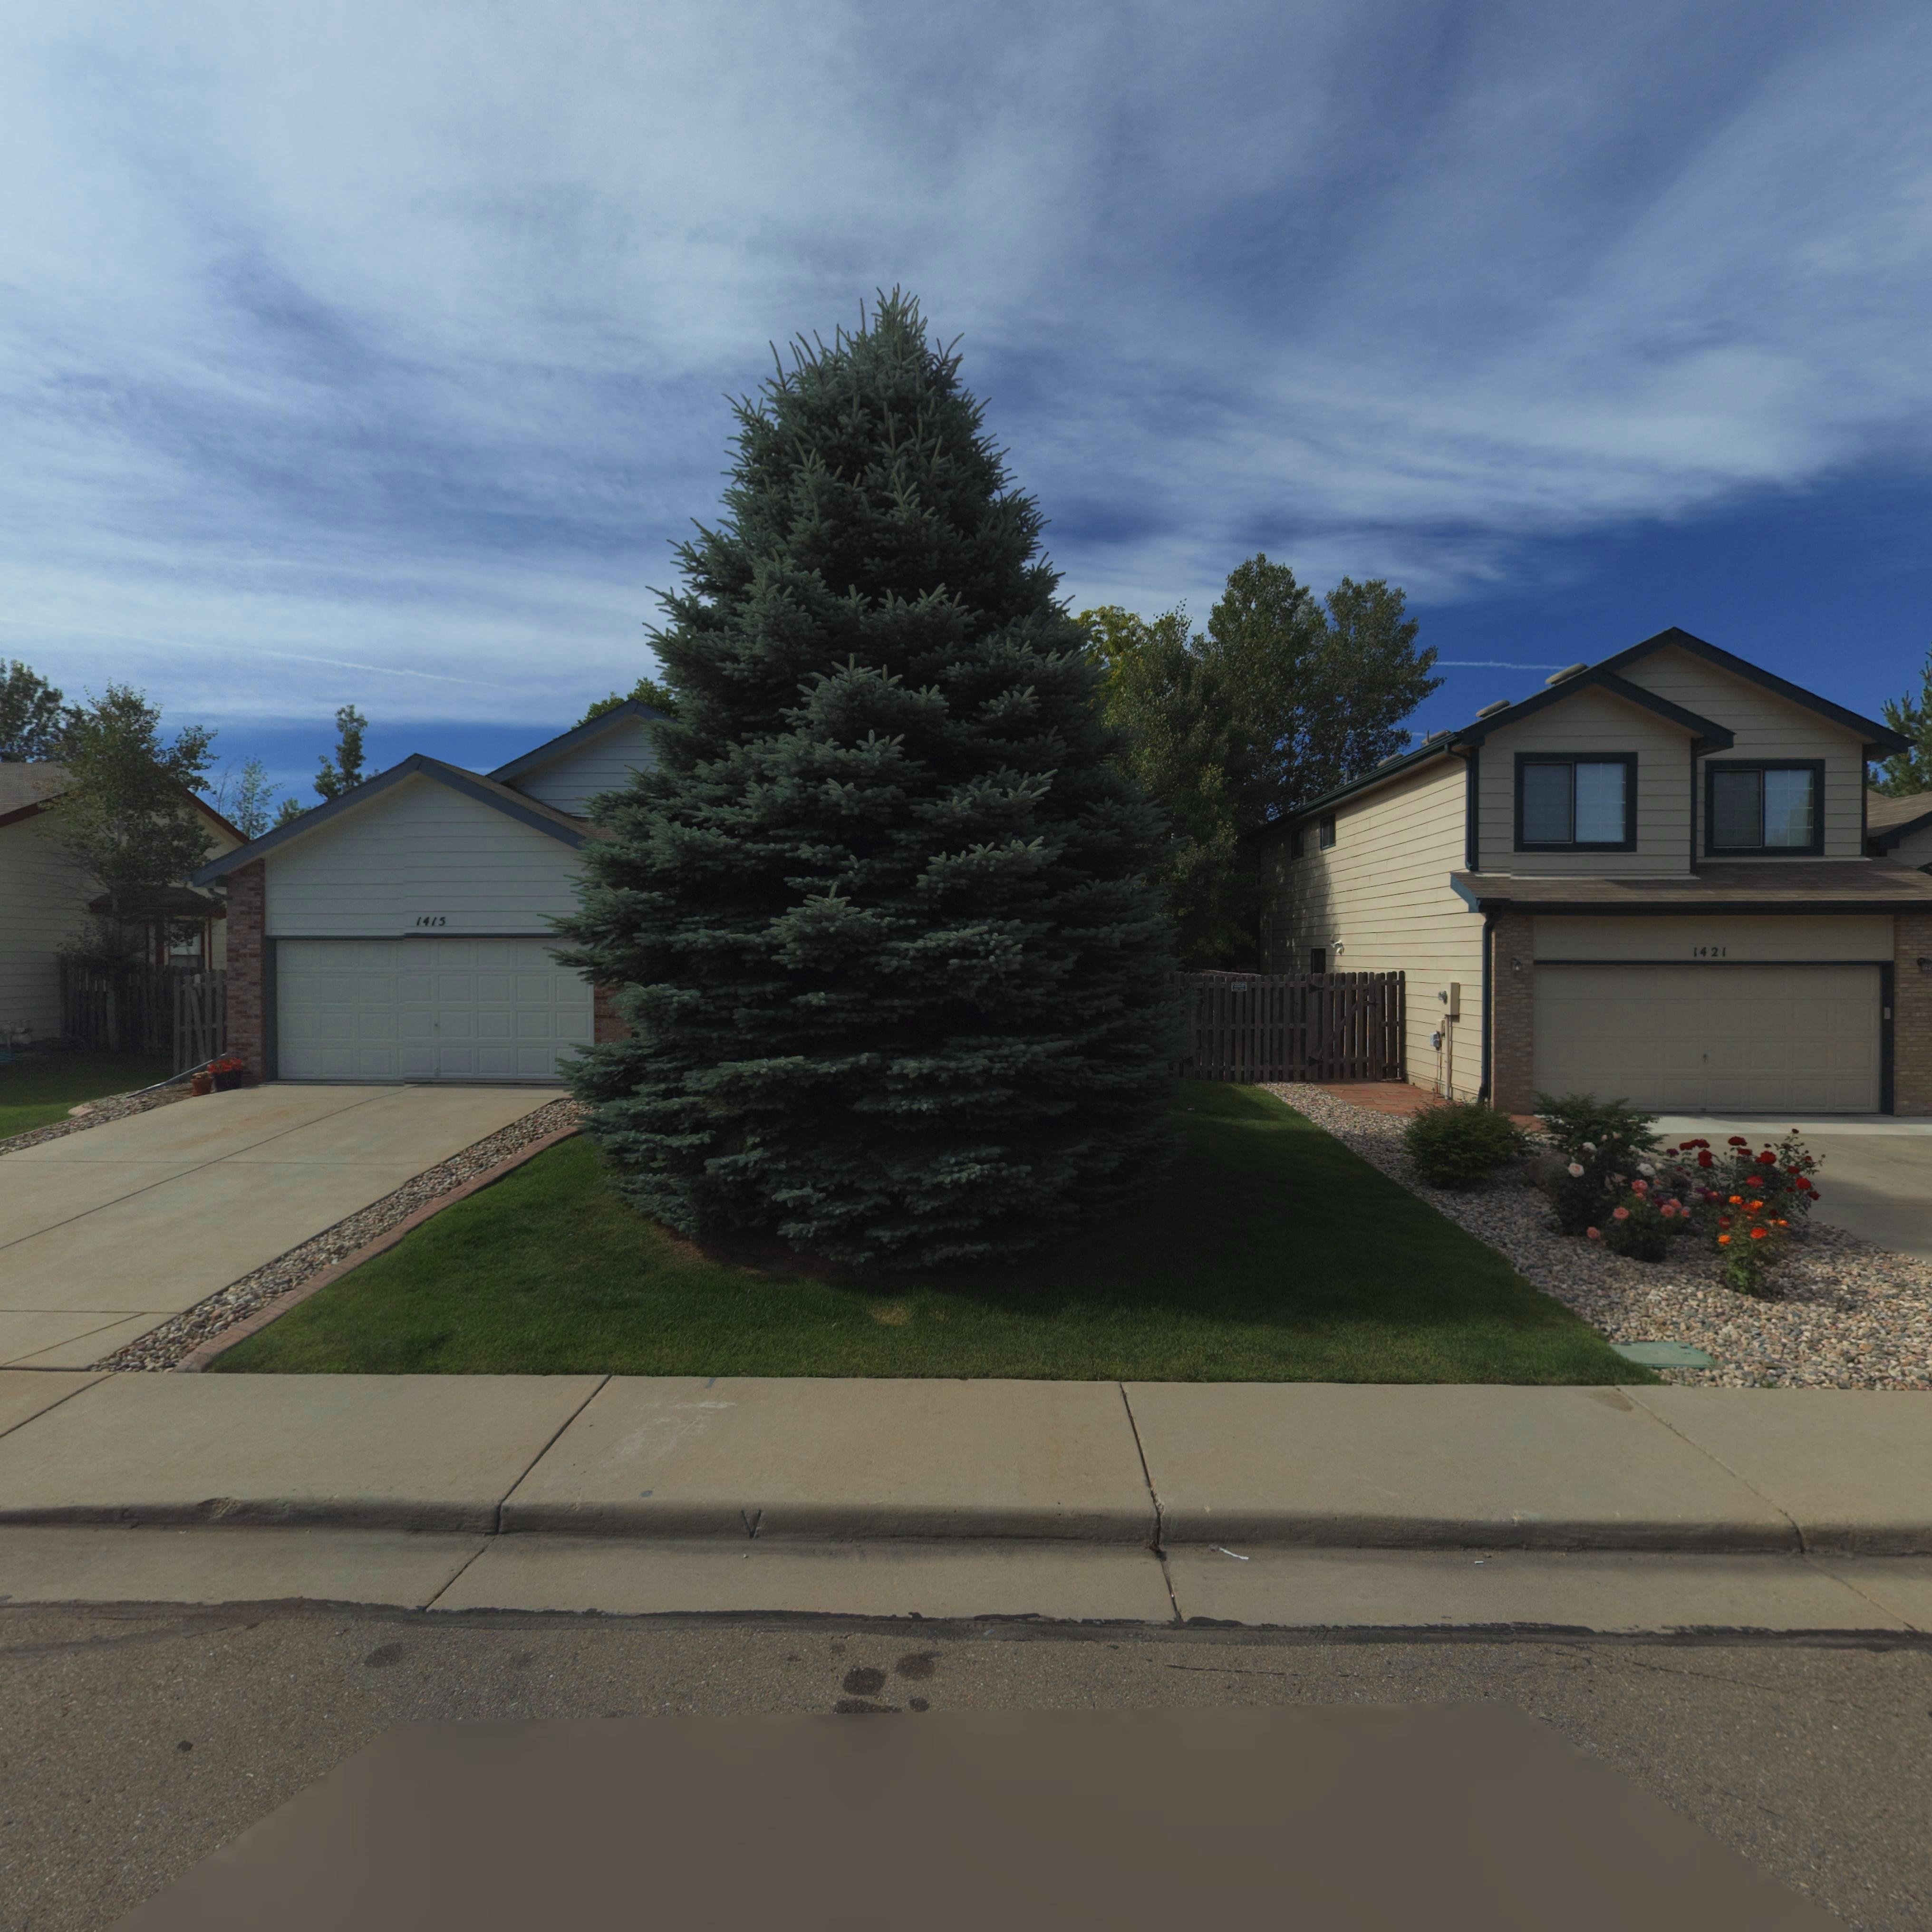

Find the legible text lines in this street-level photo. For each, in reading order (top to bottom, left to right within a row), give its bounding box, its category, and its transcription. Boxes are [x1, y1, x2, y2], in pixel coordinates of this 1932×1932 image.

[415, 916, 446, 926] StreetNumber: 1415
[1692, 946, 1727, 957] StreetNumber: 1421